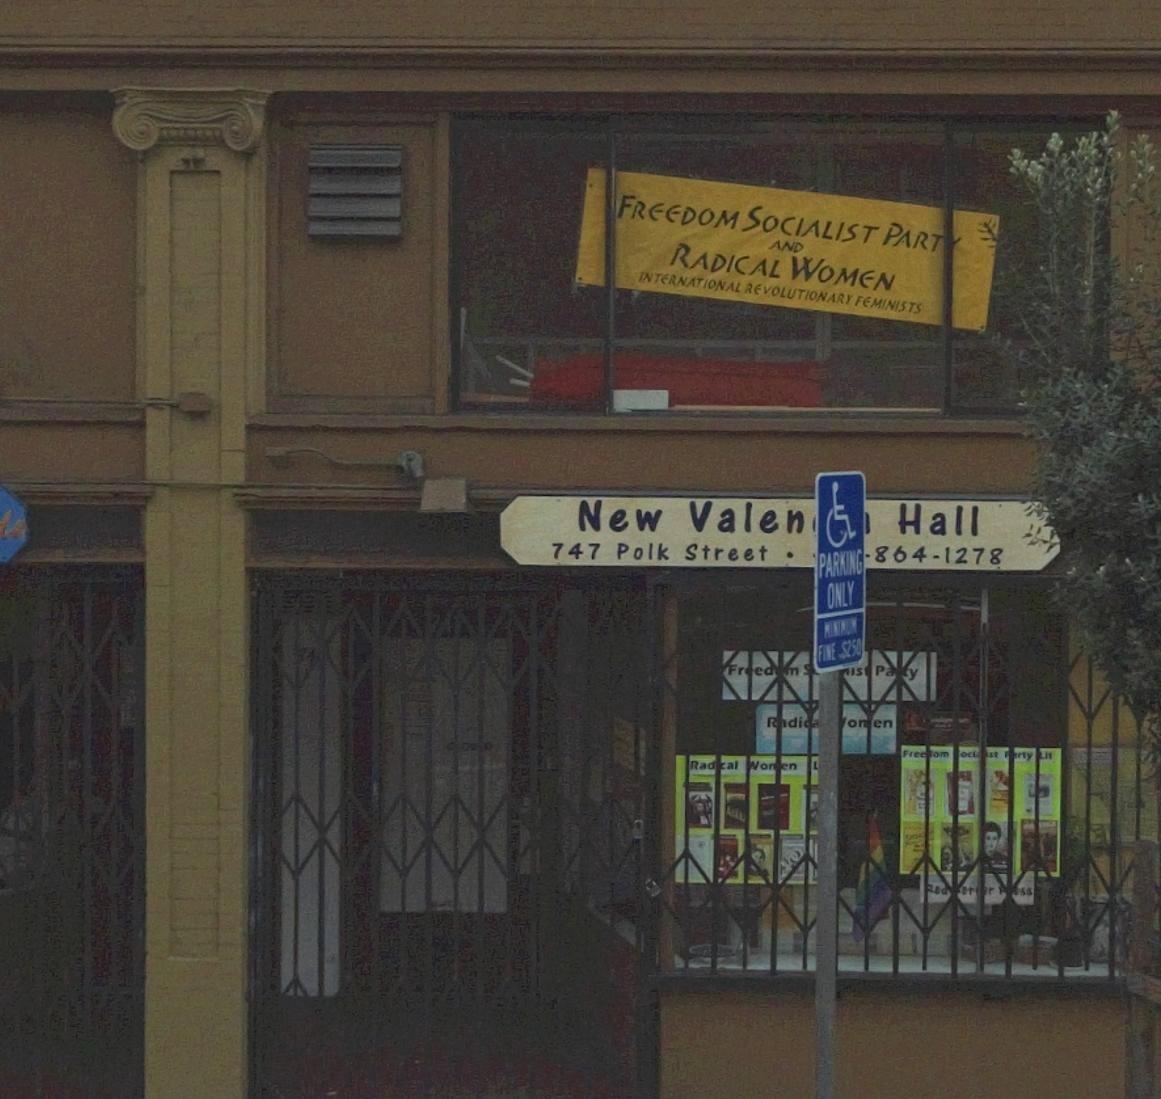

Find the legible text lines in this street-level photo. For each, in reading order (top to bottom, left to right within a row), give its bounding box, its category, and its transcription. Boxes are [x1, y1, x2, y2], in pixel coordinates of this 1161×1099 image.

[615, 193, 963, 256] None: FREEDOM SOCIALIST PART*
[766, 238, 804, 254] None: AND
[667, 241, 897, 293] None: RADICAL WOMEN
[635, 270, 923, 315] None: INTERNATIONAL REVOLUTIONARY FEMINISTS
[575, 498, 981, 538] BusinessName: New Valen*** Hall
[551, 541, 601, 562] StreetNumber: 747
[616, 541, 768, 562] StreetName: Polk Street
[818, 548, 863, 580] None: PARKING
[873, 543, 1006, 566] None: 864-1278
[827, 579, 855, 610] None: ONLY
[823, 616, 858, 640] None: MINIMUM
[817, 637, 862, 664] None: FINE $250
[726, 662, 920, 682] None: Fr*ed*m S*****is* Pa**y
[766, 714, 894, 730] None: R*di*a* *o*en
[688, 759, 798, 772] None: Rad*cal *o*en
[901, 749, 1054, 761] None: Free*om *oci***st **rty Lit